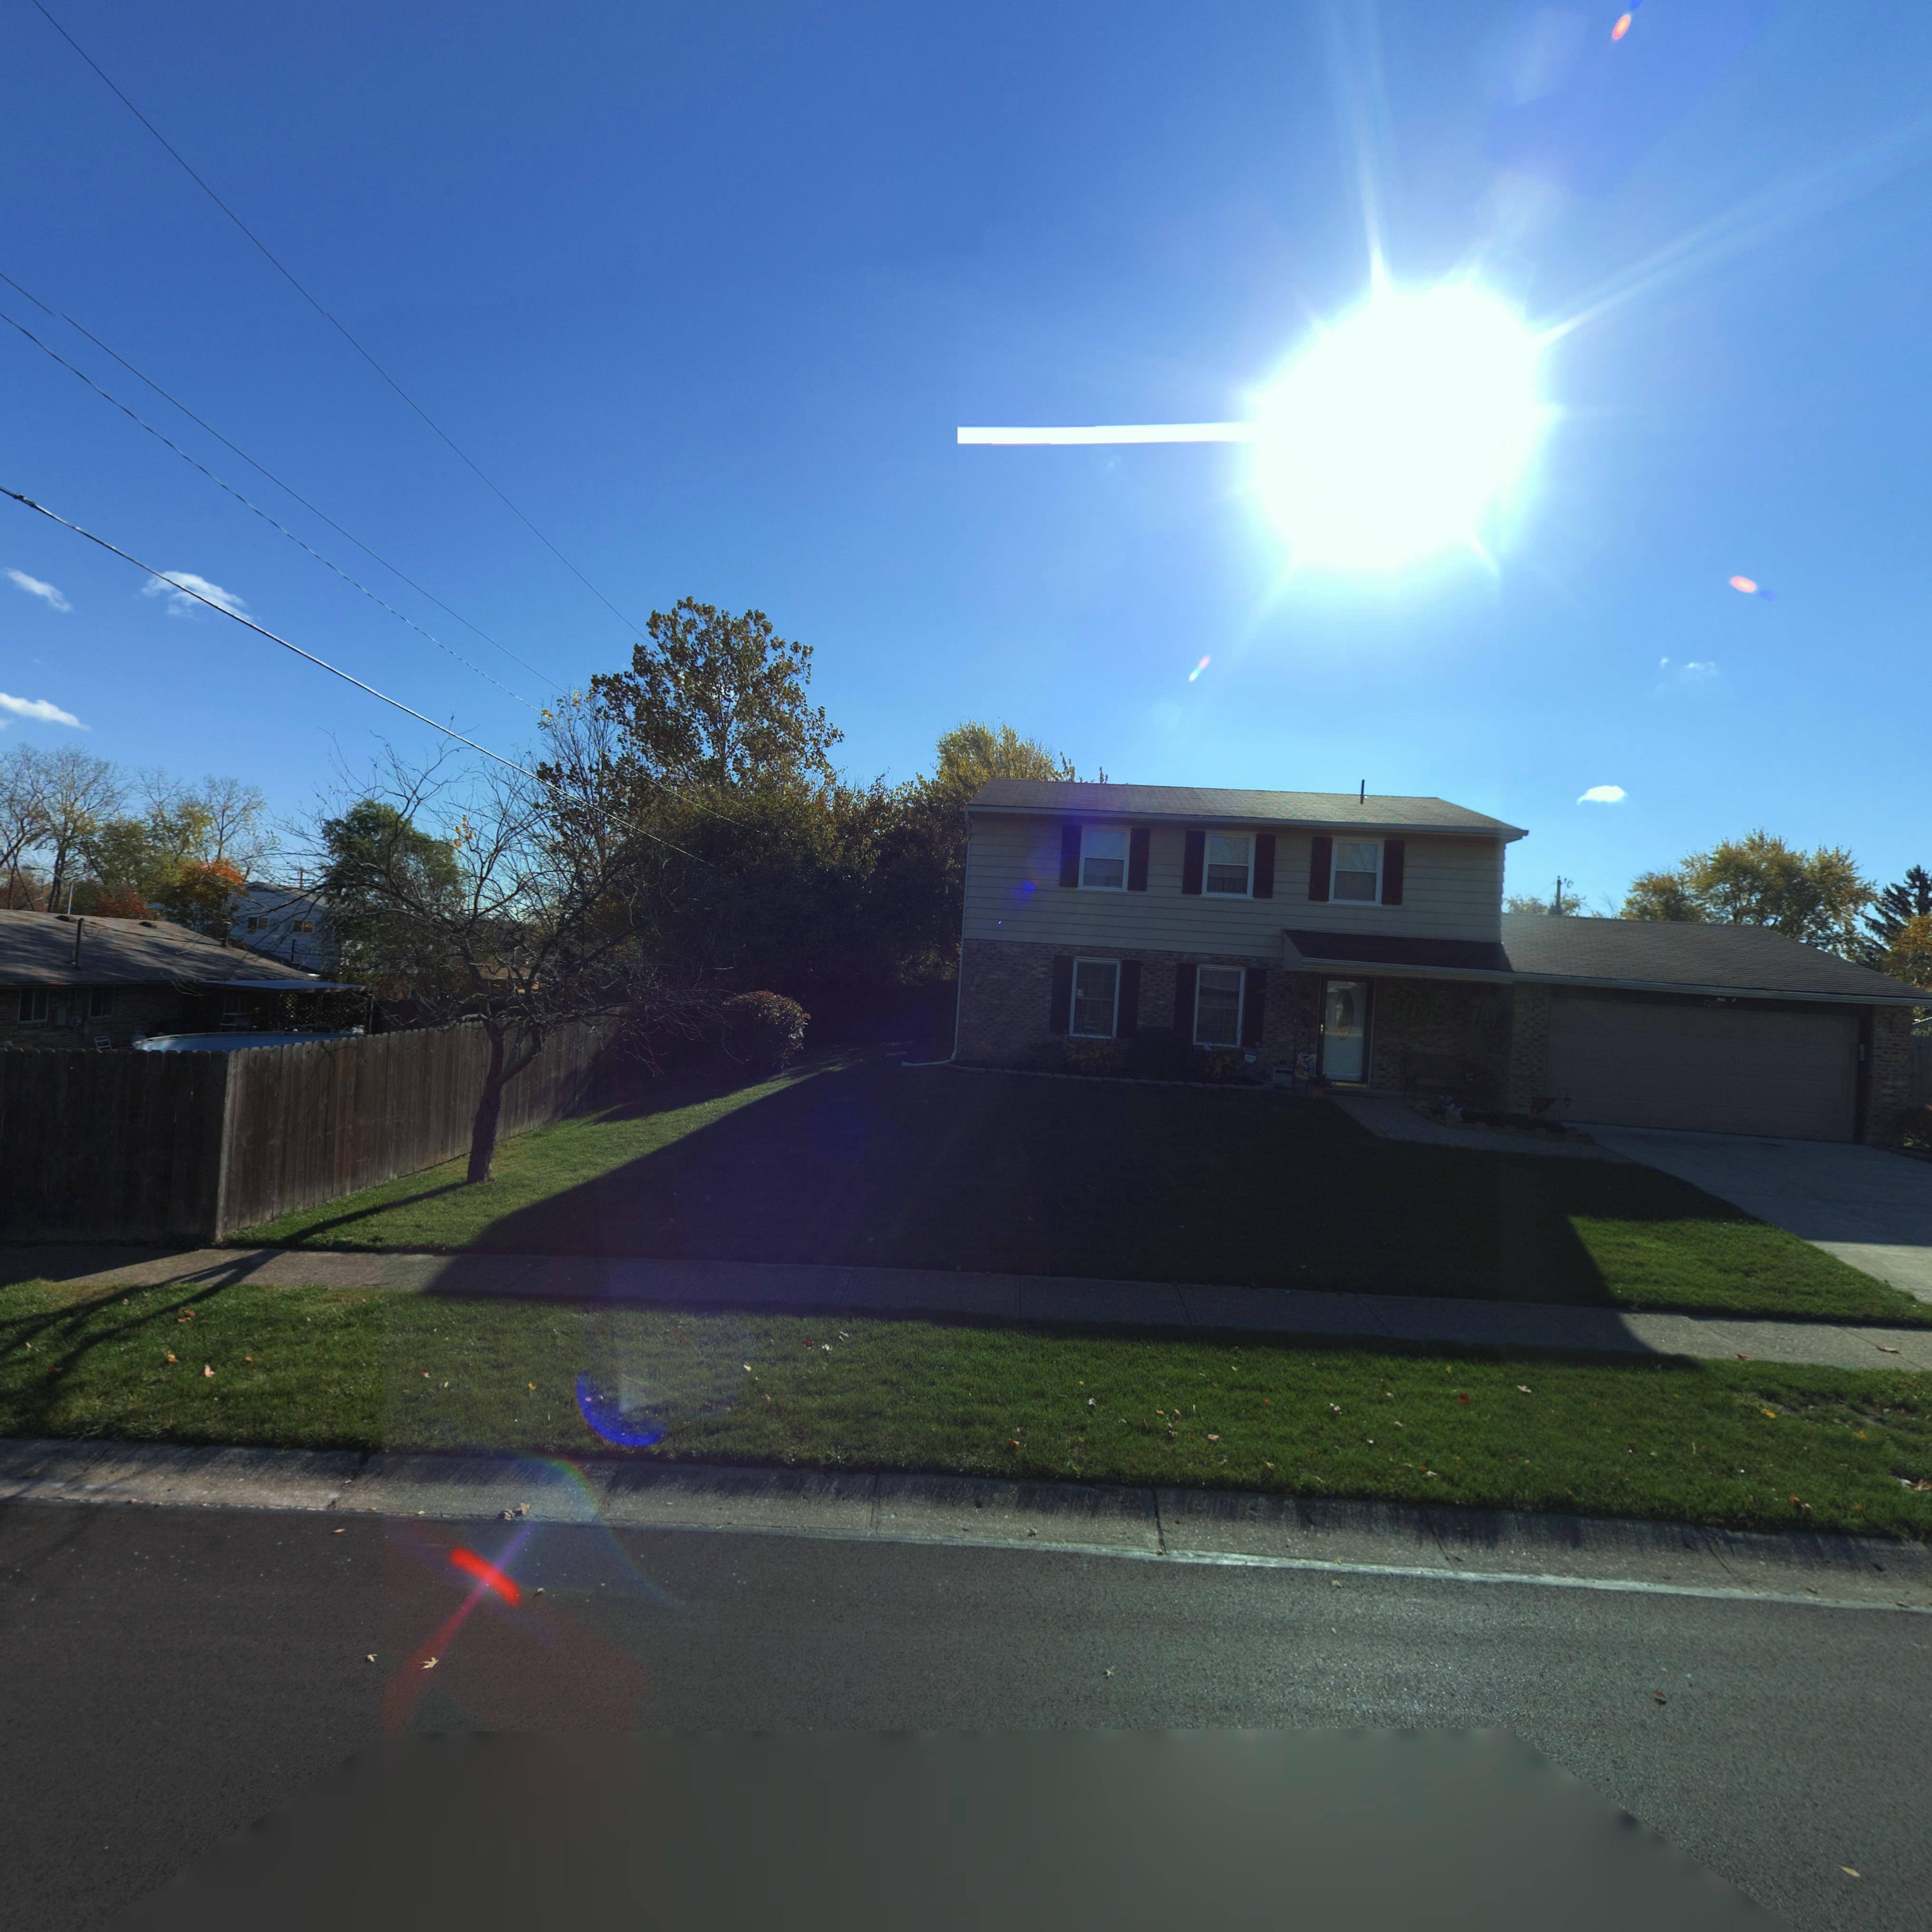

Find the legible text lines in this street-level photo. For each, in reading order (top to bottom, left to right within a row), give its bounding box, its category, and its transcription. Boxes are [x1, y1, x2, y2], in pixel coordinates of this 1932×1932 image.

[1700, 998, 1724, 1009] StreetNumber: 7***